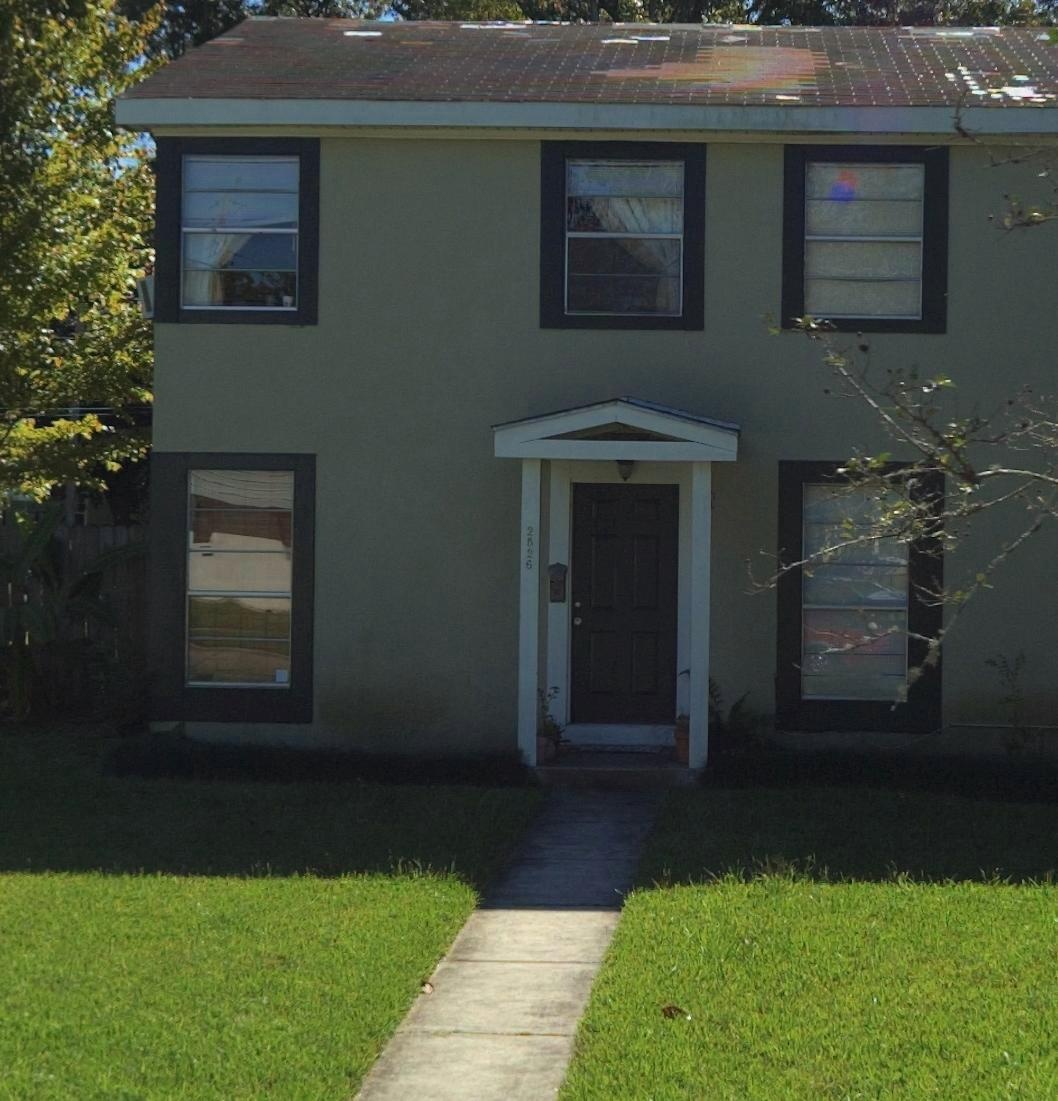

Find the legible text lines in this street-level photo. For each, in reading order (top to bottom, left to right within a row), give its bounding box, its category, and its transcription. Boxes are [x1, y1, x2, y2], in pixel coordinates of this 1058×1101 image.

[524, 524, 535, 572] StreetNumber: 2526